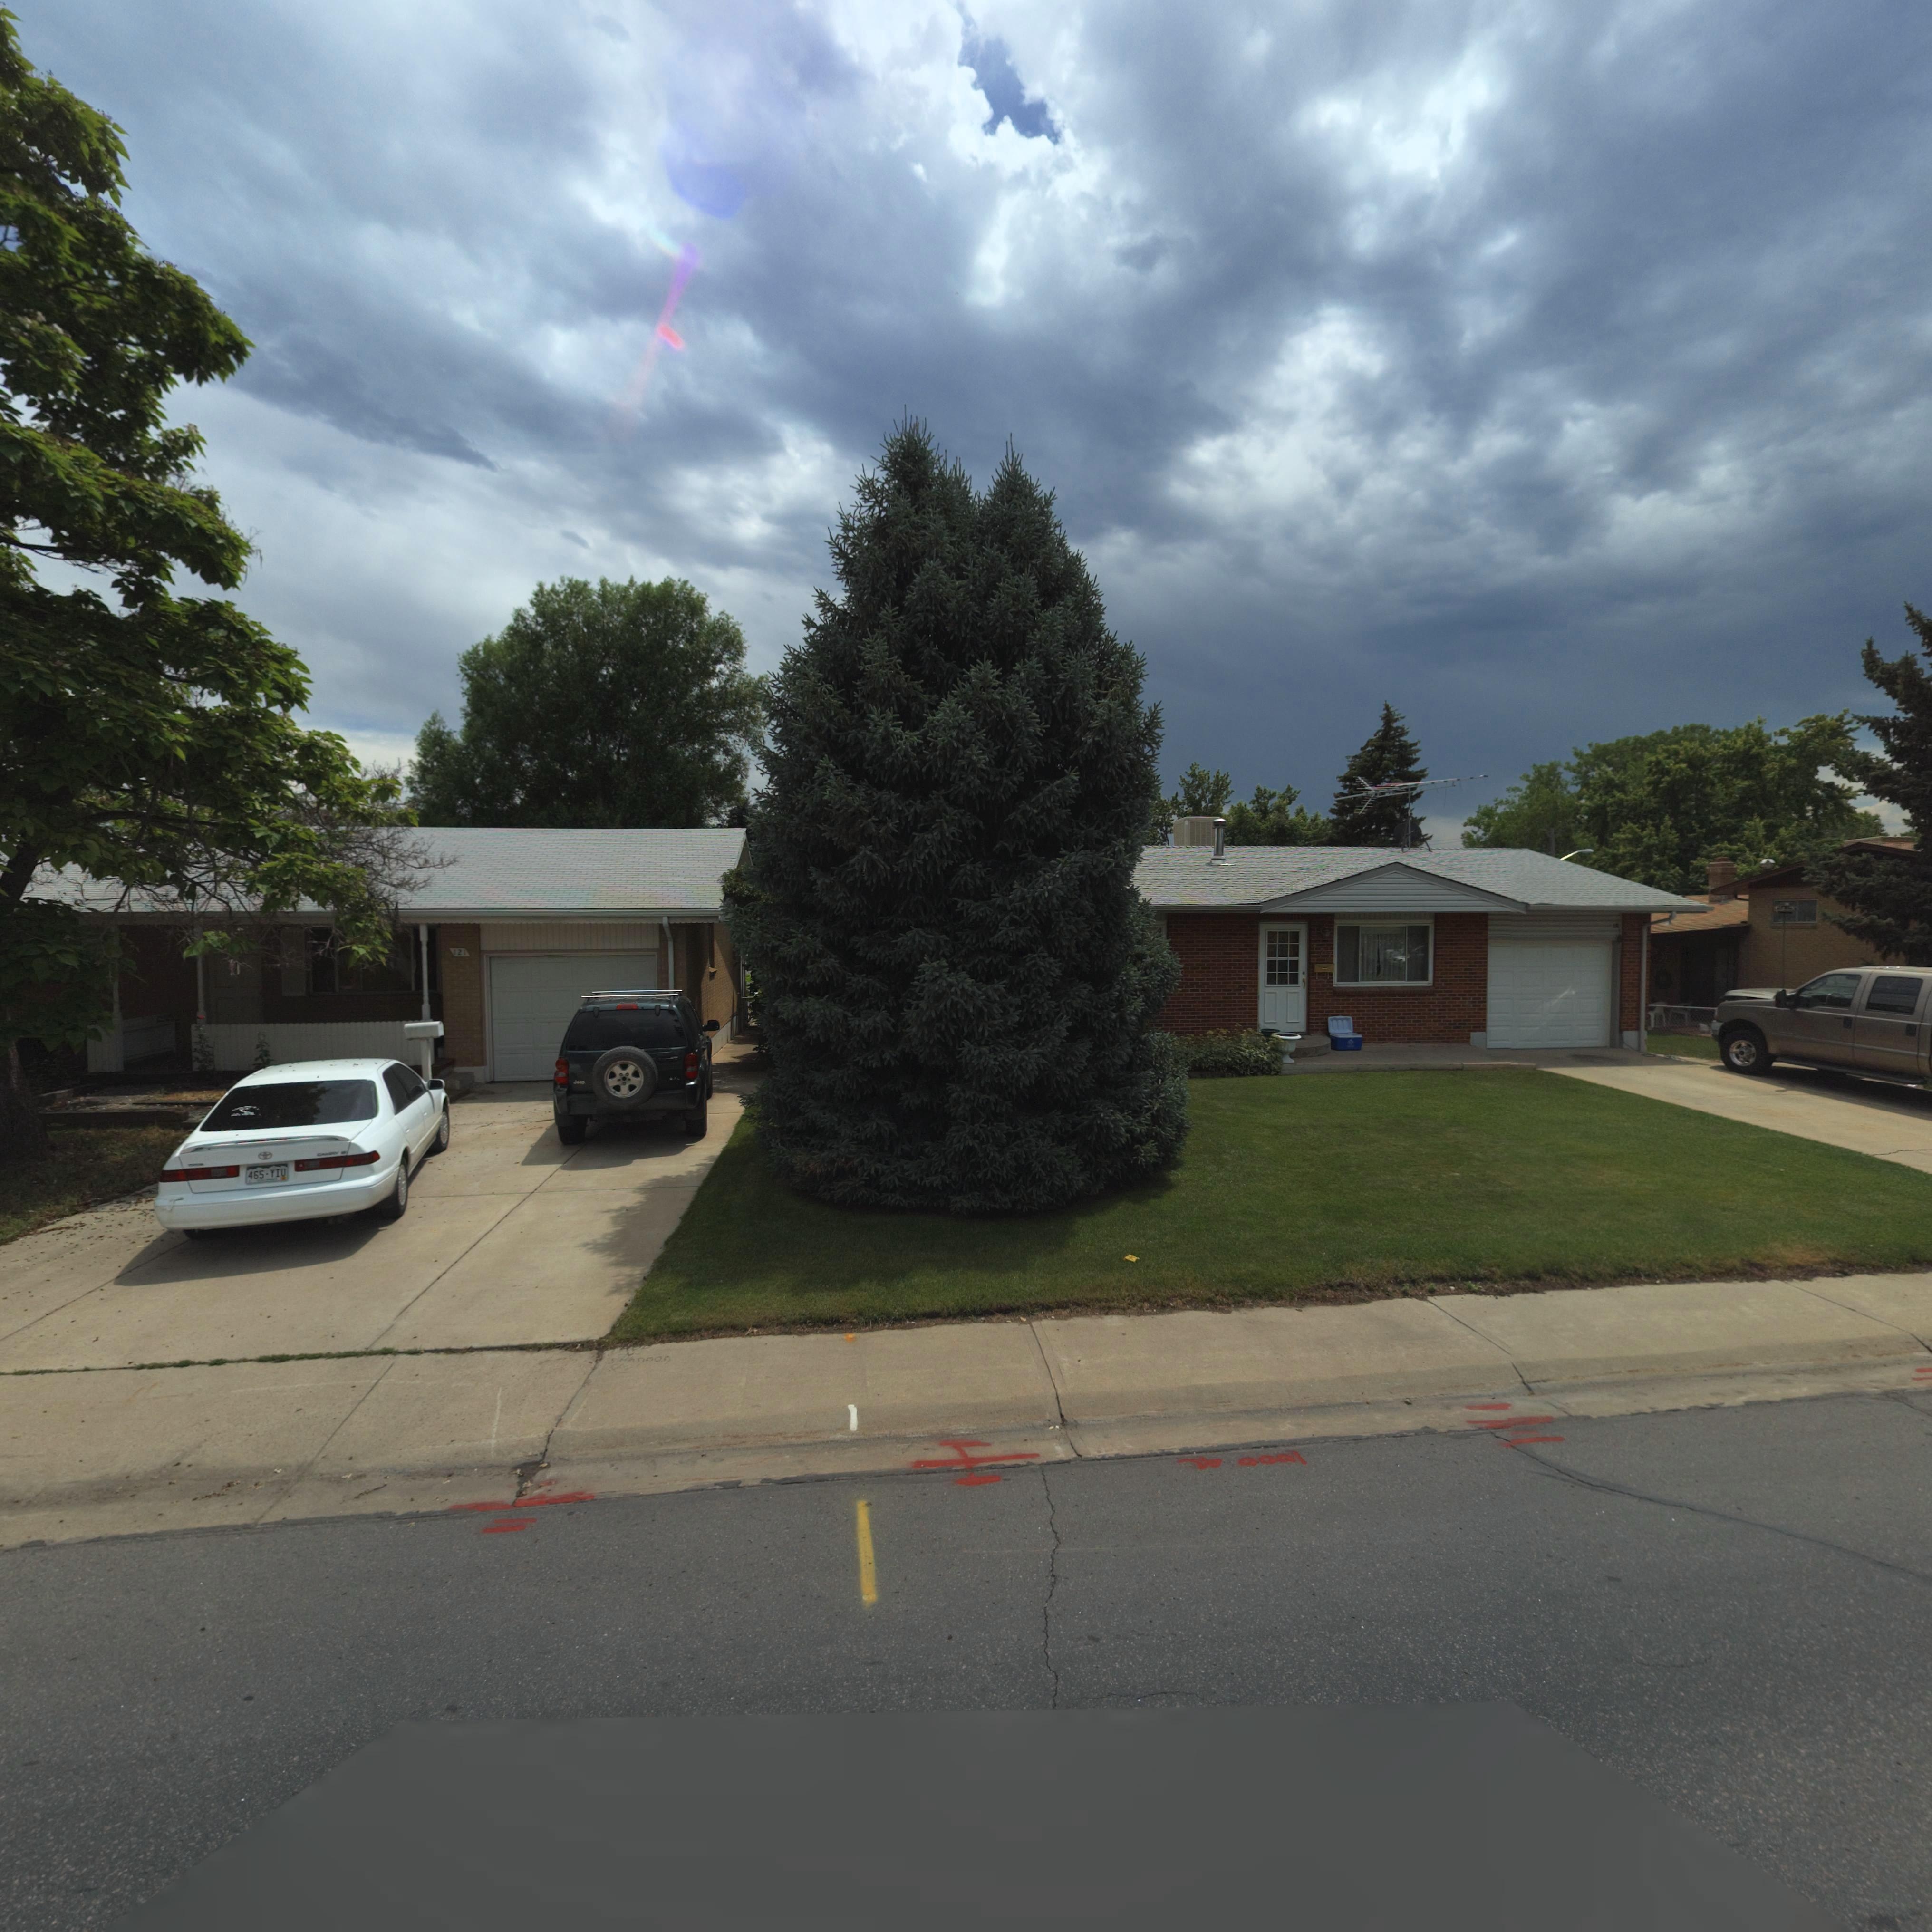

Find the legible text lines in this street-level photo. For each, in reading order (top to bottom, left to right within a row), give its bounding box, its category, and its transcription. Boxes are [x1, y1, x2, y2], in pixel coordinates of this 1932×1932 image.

[453, 948, 466, 956] StreetNumber: 121
[1312, 943, 1333, 959] StreetNumber: 127